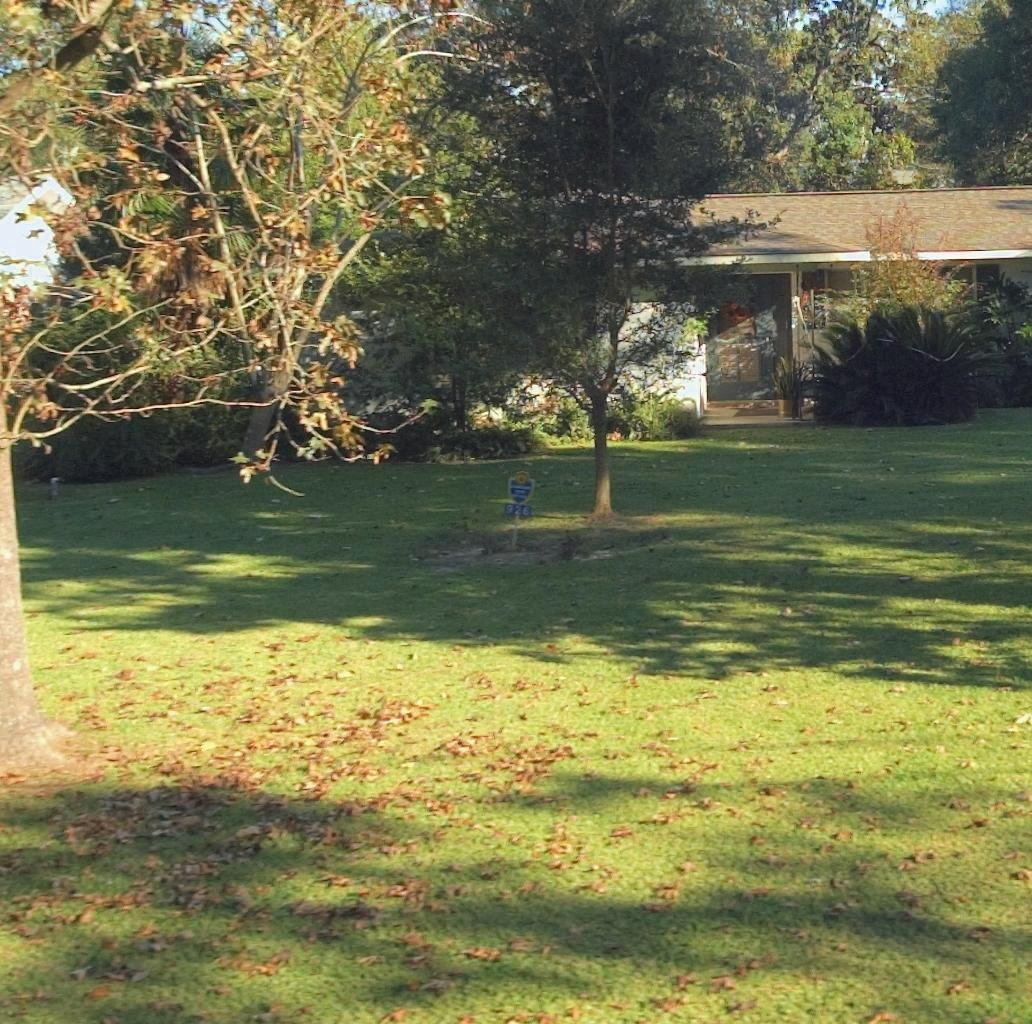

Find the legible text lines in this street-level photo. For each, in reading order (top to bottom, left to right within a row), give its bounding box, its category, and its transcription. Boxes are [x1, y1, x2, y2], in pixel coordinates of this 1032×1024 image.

[504, 502, 532, 518] StreetNumber: 926